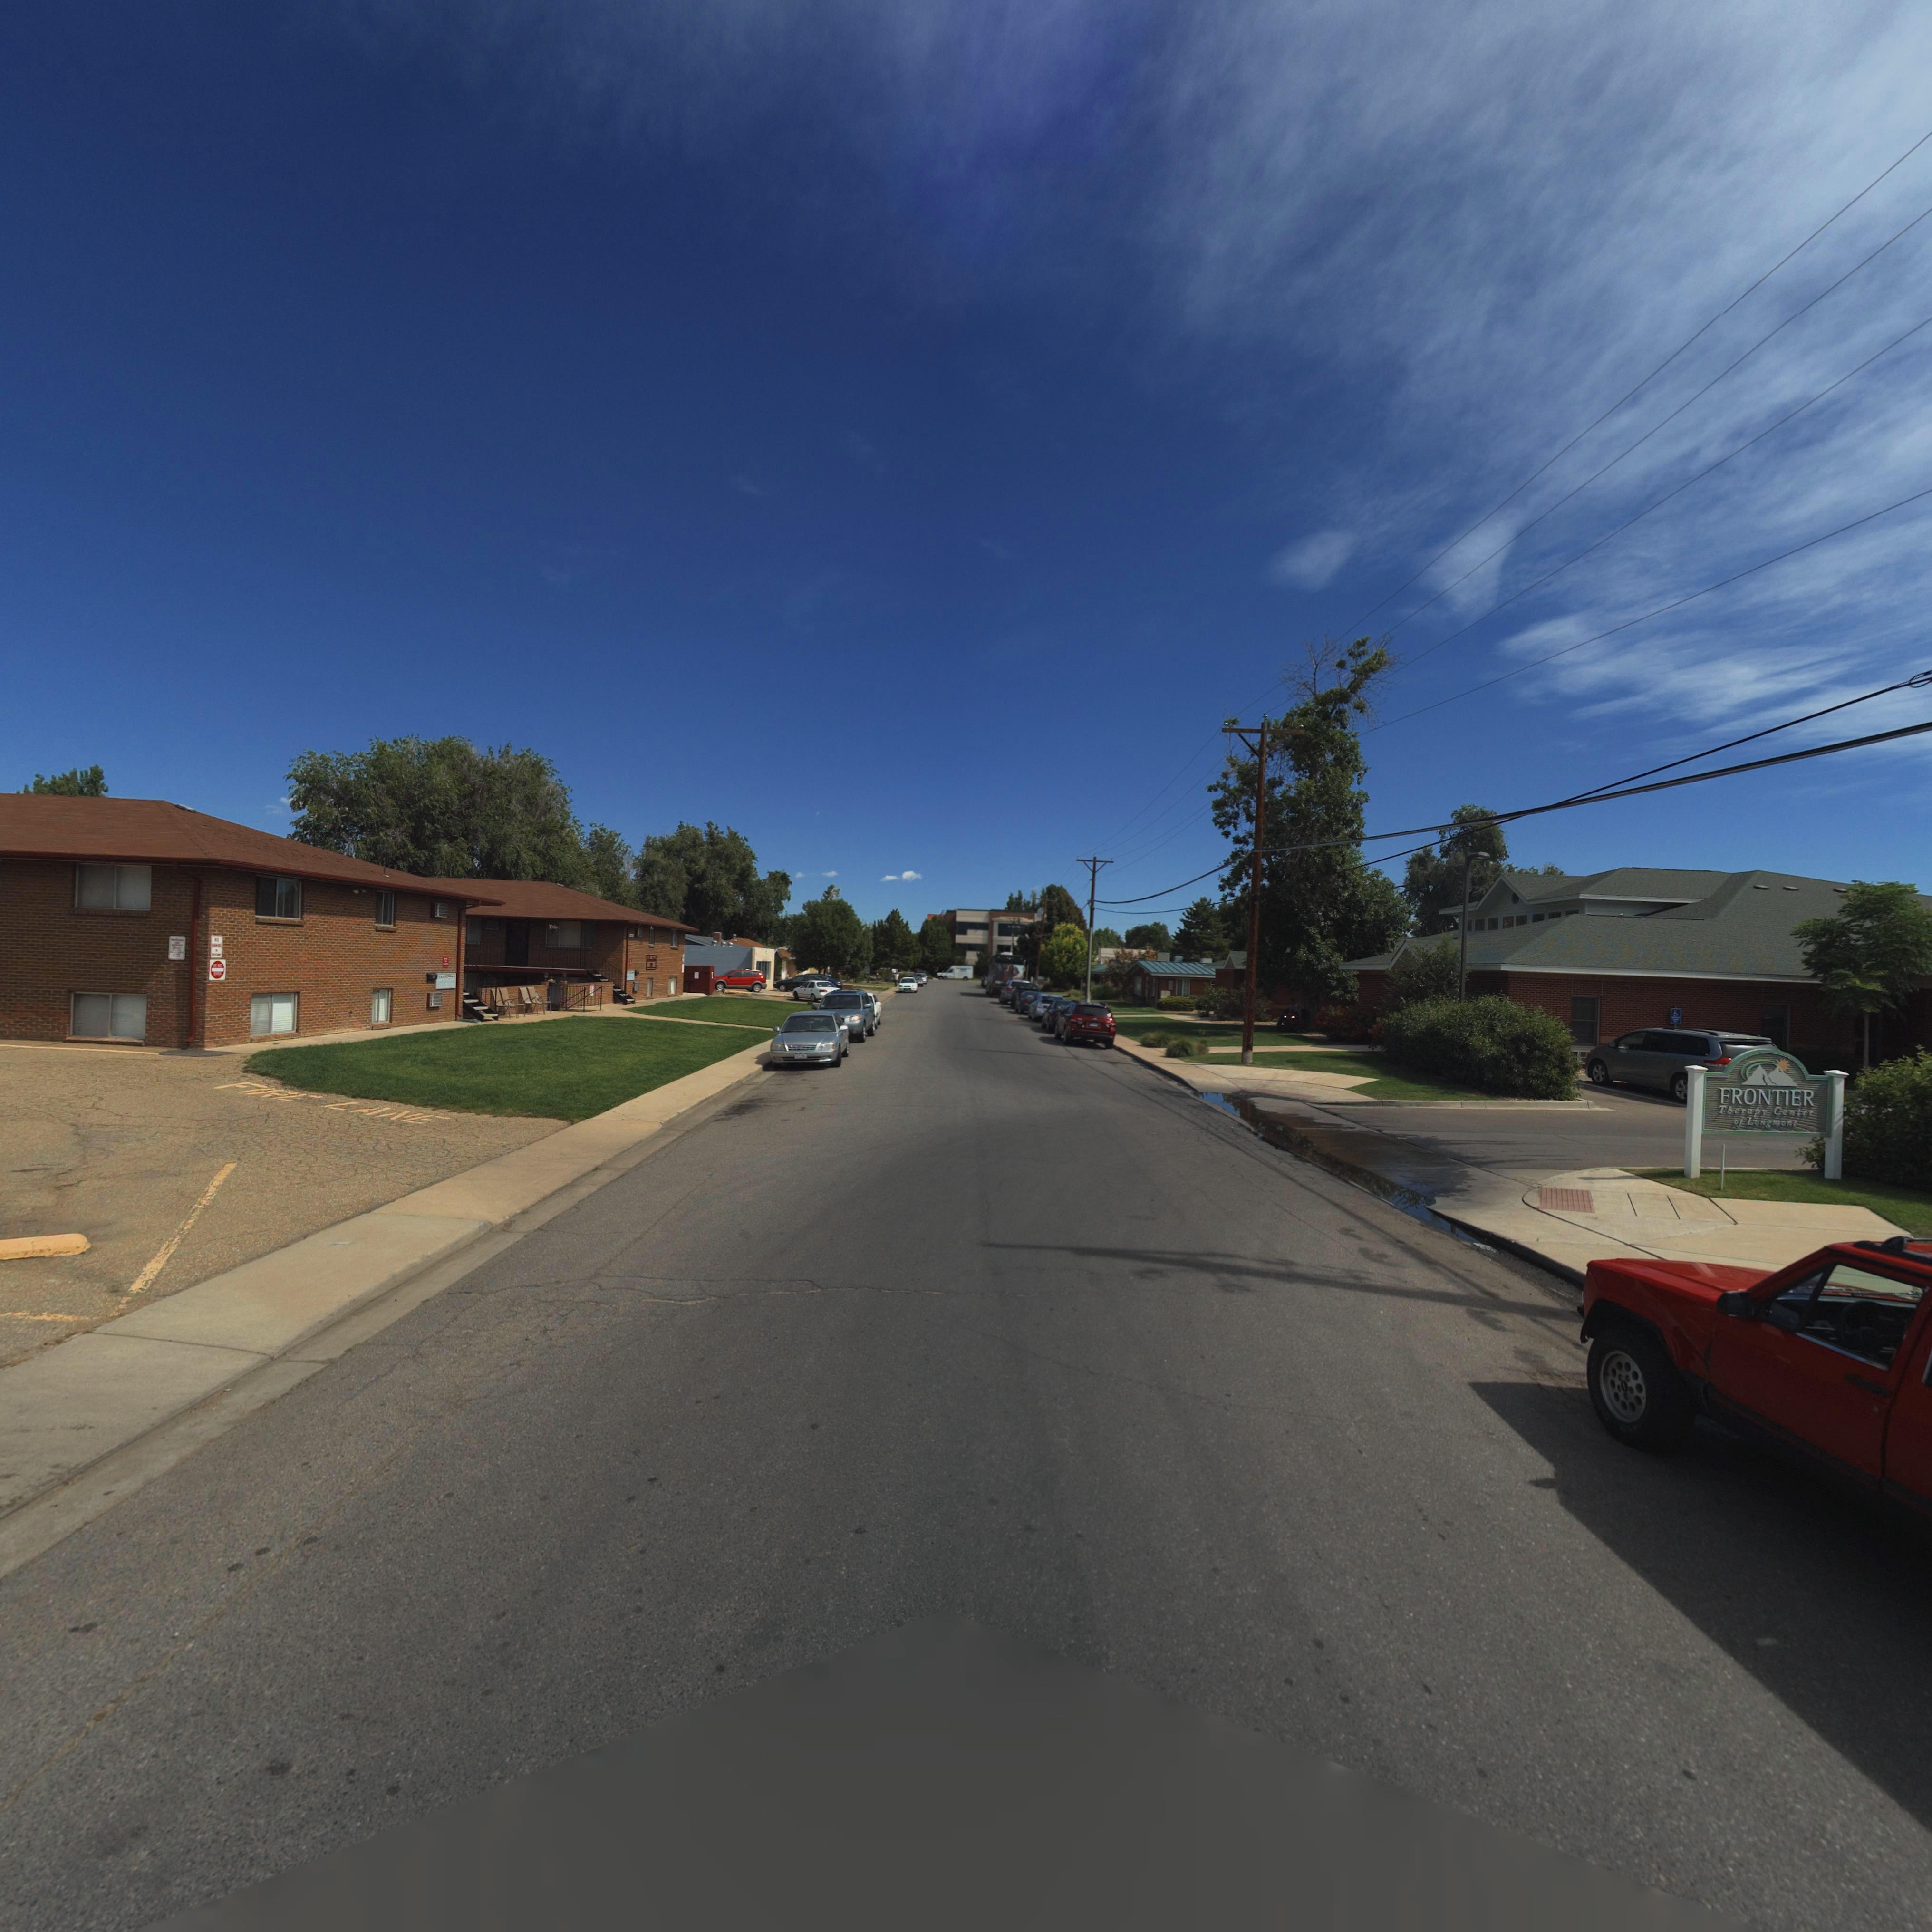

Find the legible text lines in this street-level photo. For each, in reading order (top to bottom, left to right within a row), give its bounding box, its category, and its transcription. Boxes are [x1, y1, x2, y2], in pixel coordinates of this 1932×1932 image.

[1718, 1086, 1815, 1107] BusinessName: FRONTIER
[1718, 1104, 1815, 1118] BusinessName: Therapy Center
[1733, 1116, 1798, 1129] BusinessName: of Longmont